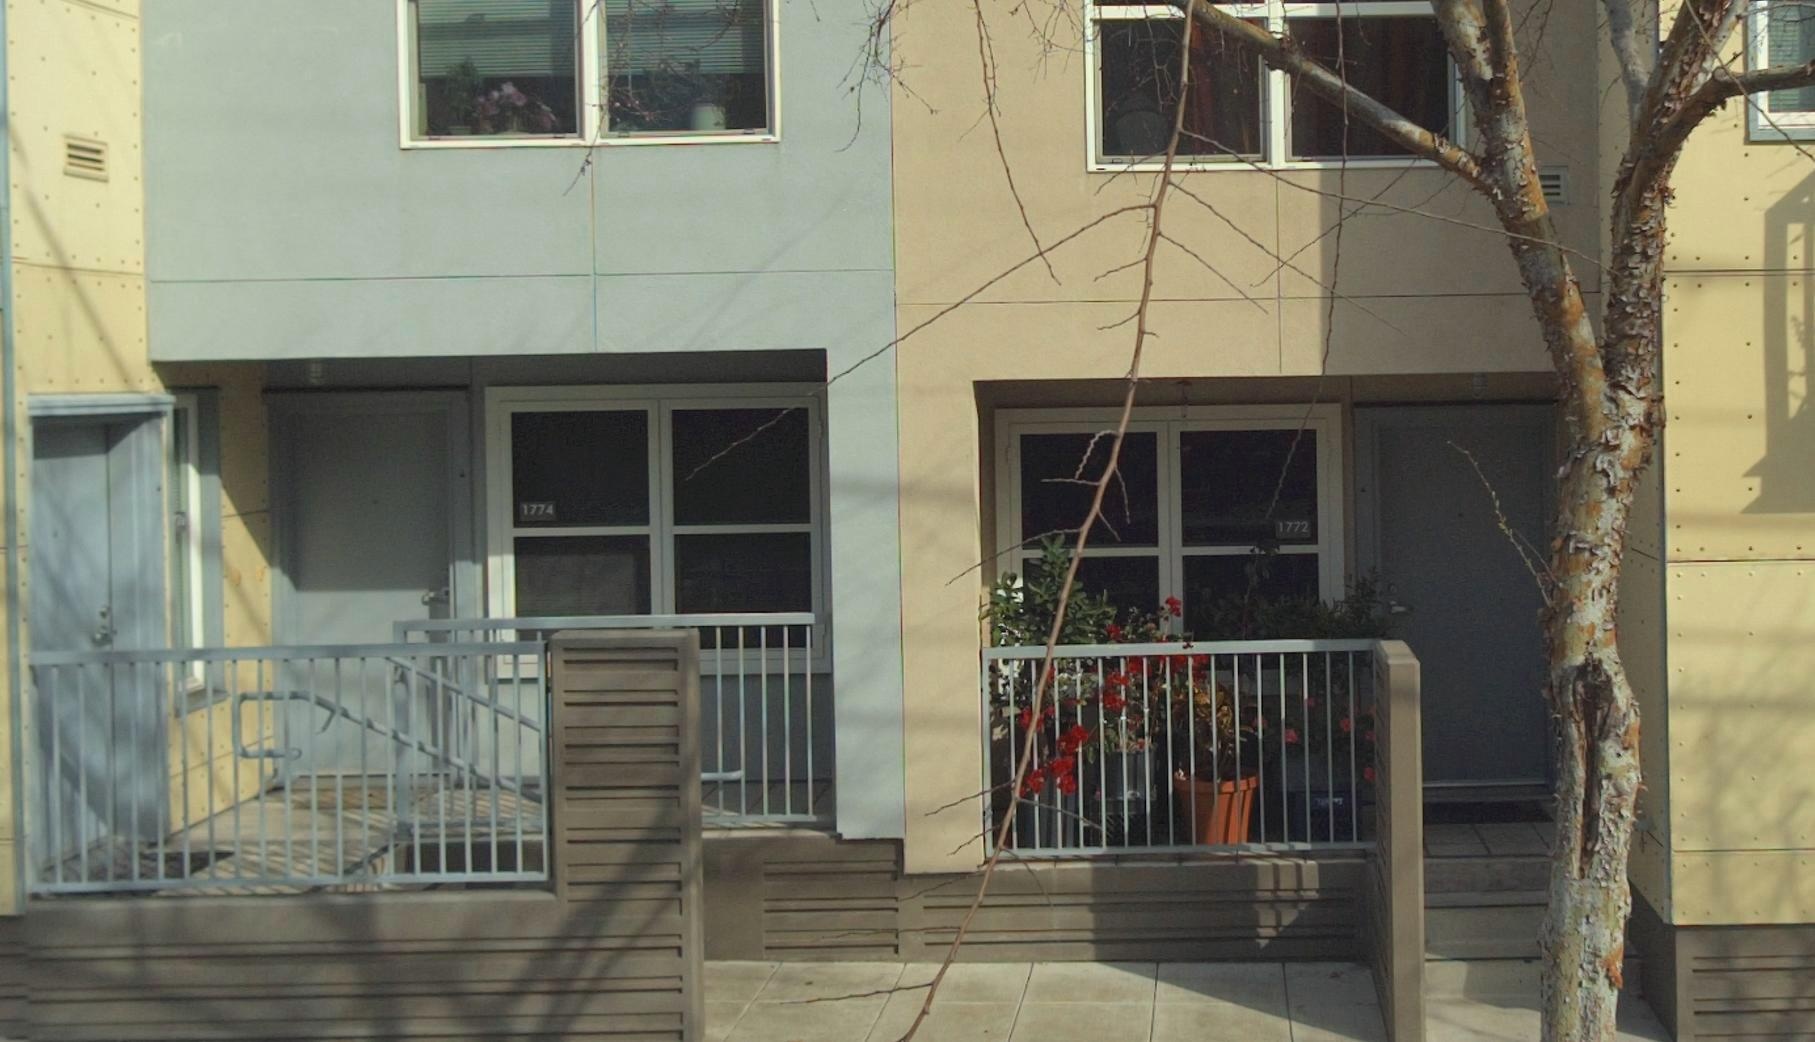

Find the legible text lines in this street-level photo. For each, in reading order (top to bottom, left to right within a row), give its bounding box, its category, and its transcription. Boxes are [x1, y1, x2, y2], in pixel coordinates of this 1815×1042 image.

[520, 502, 555, 517] StreetNumber: 1774
[1277, 519, 1310, 535] StreetNumber: 1772